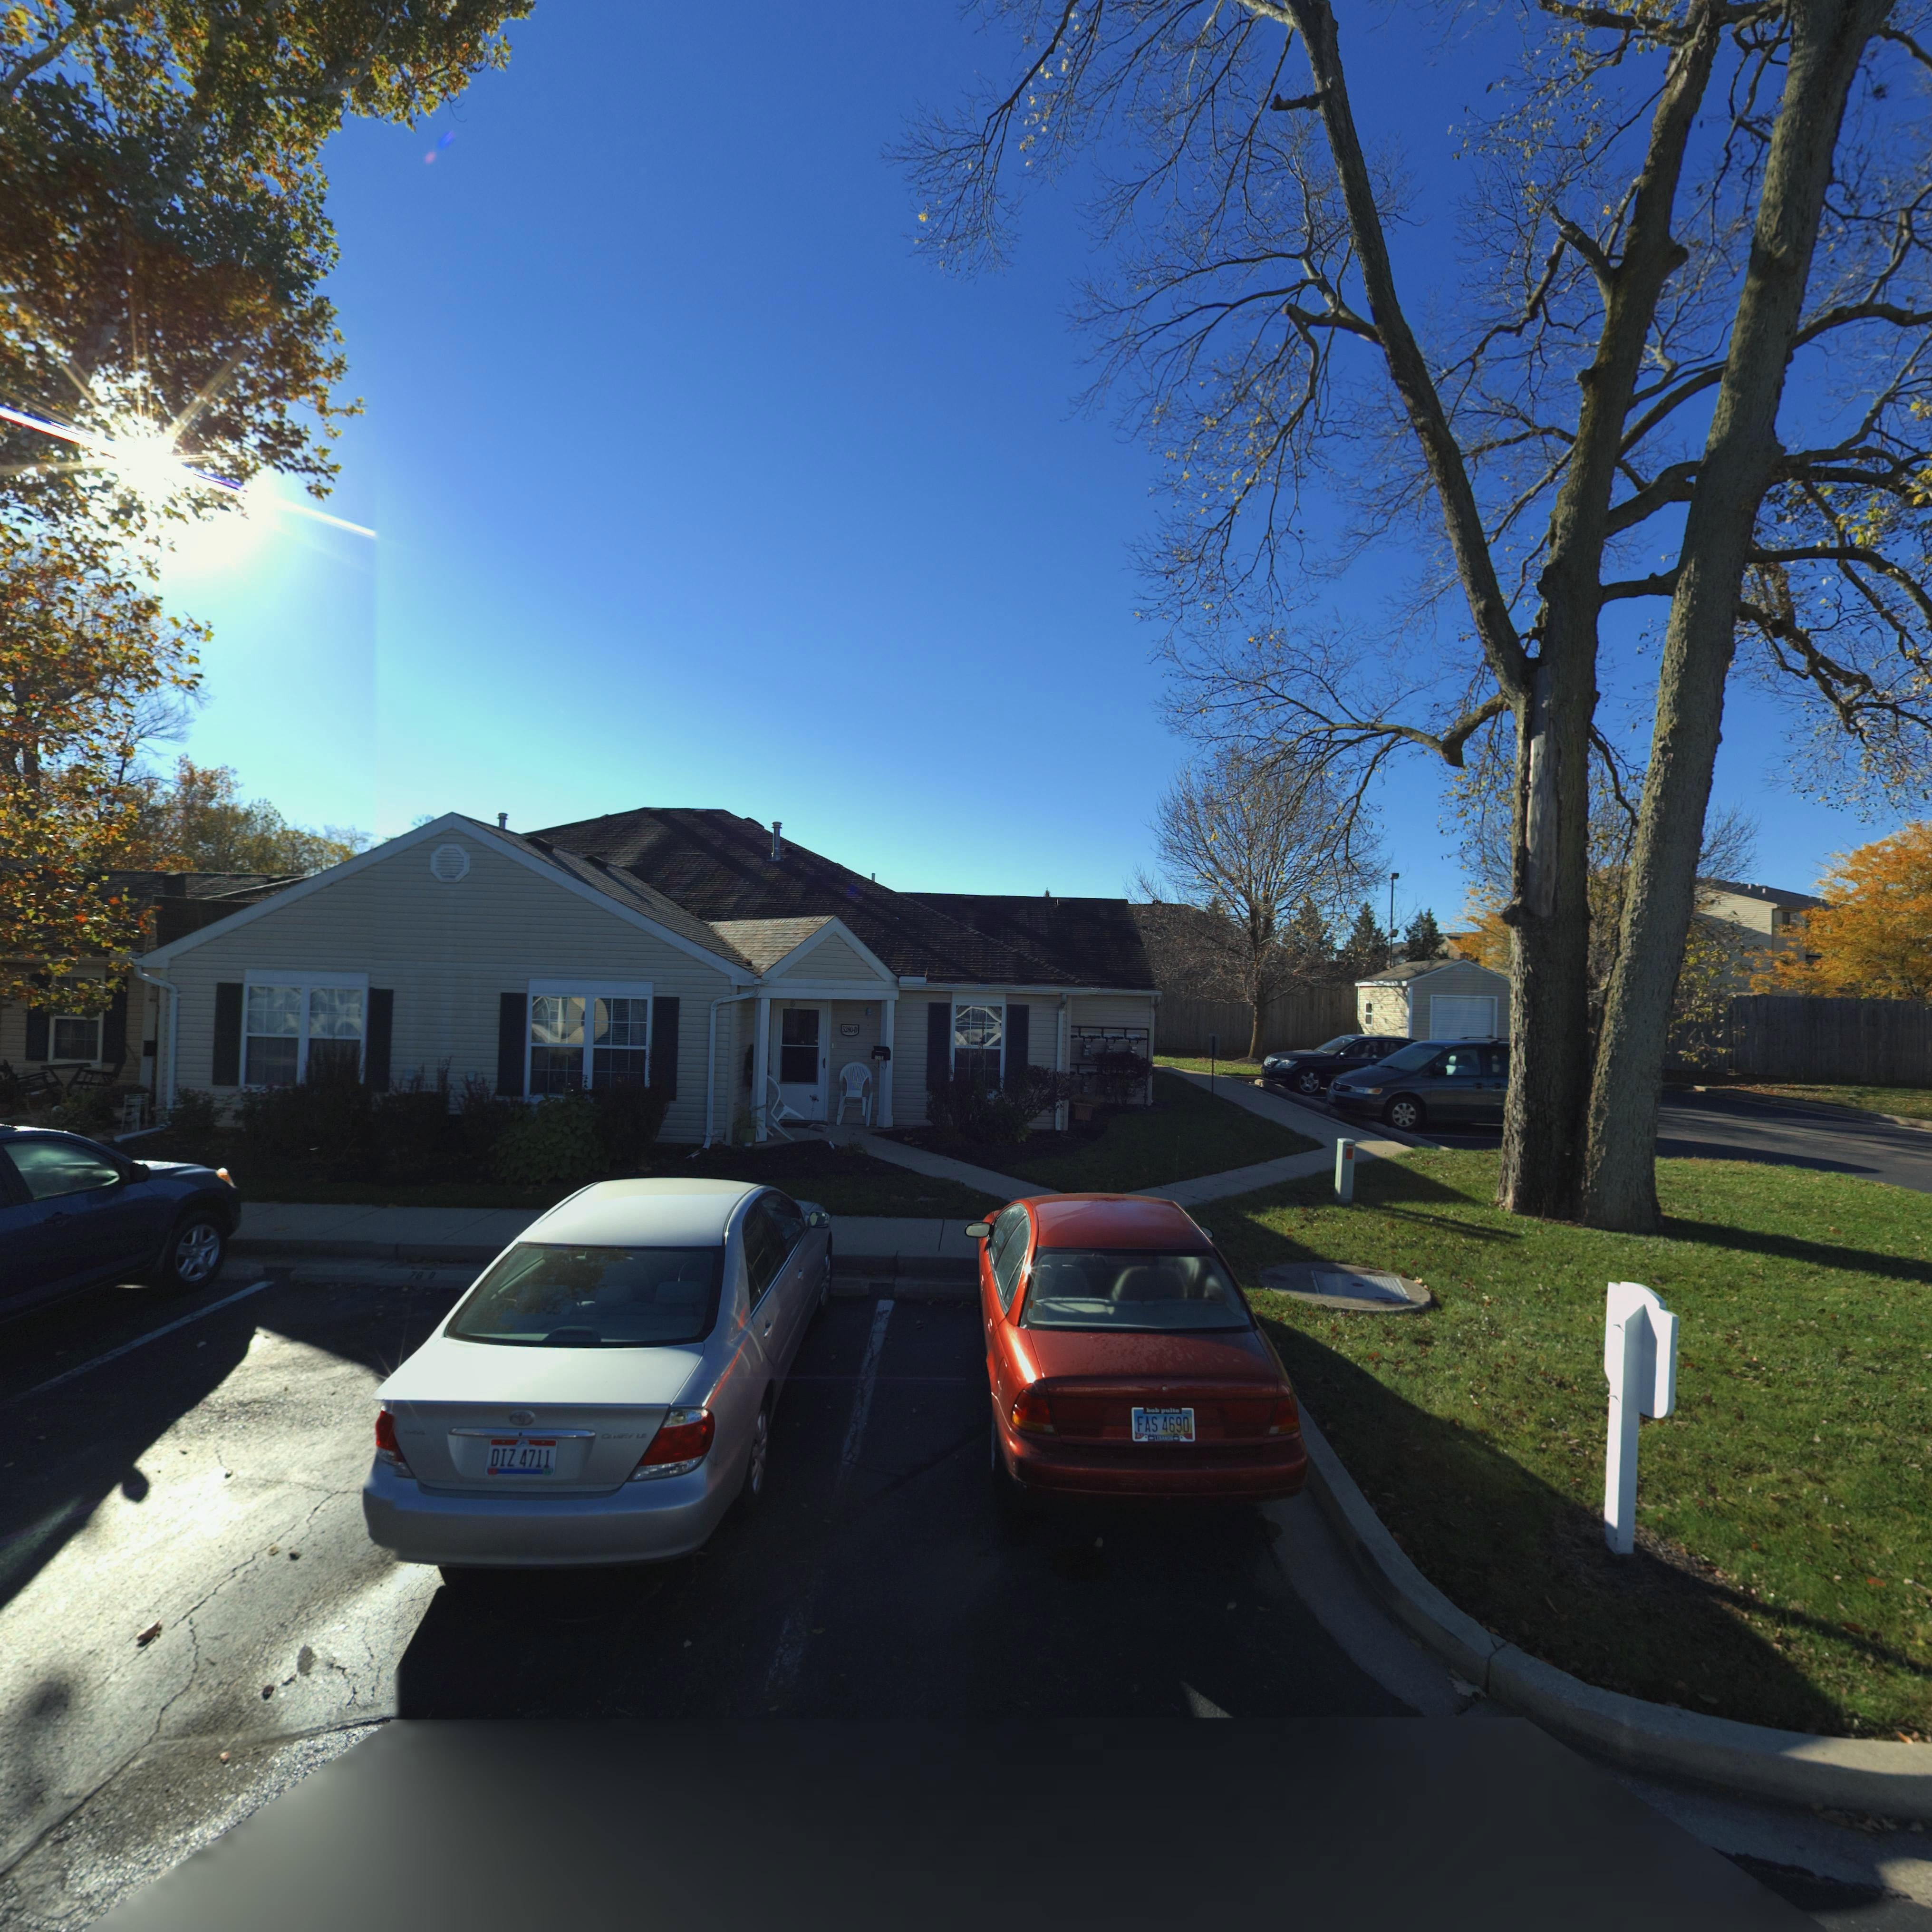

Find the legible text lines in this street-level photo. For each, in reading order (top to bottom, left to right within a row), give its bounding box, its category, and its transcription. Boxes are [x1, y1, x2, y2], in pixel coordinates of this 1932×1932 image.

[841, 1024, 858, 1034] StreetNumber: 5280-D